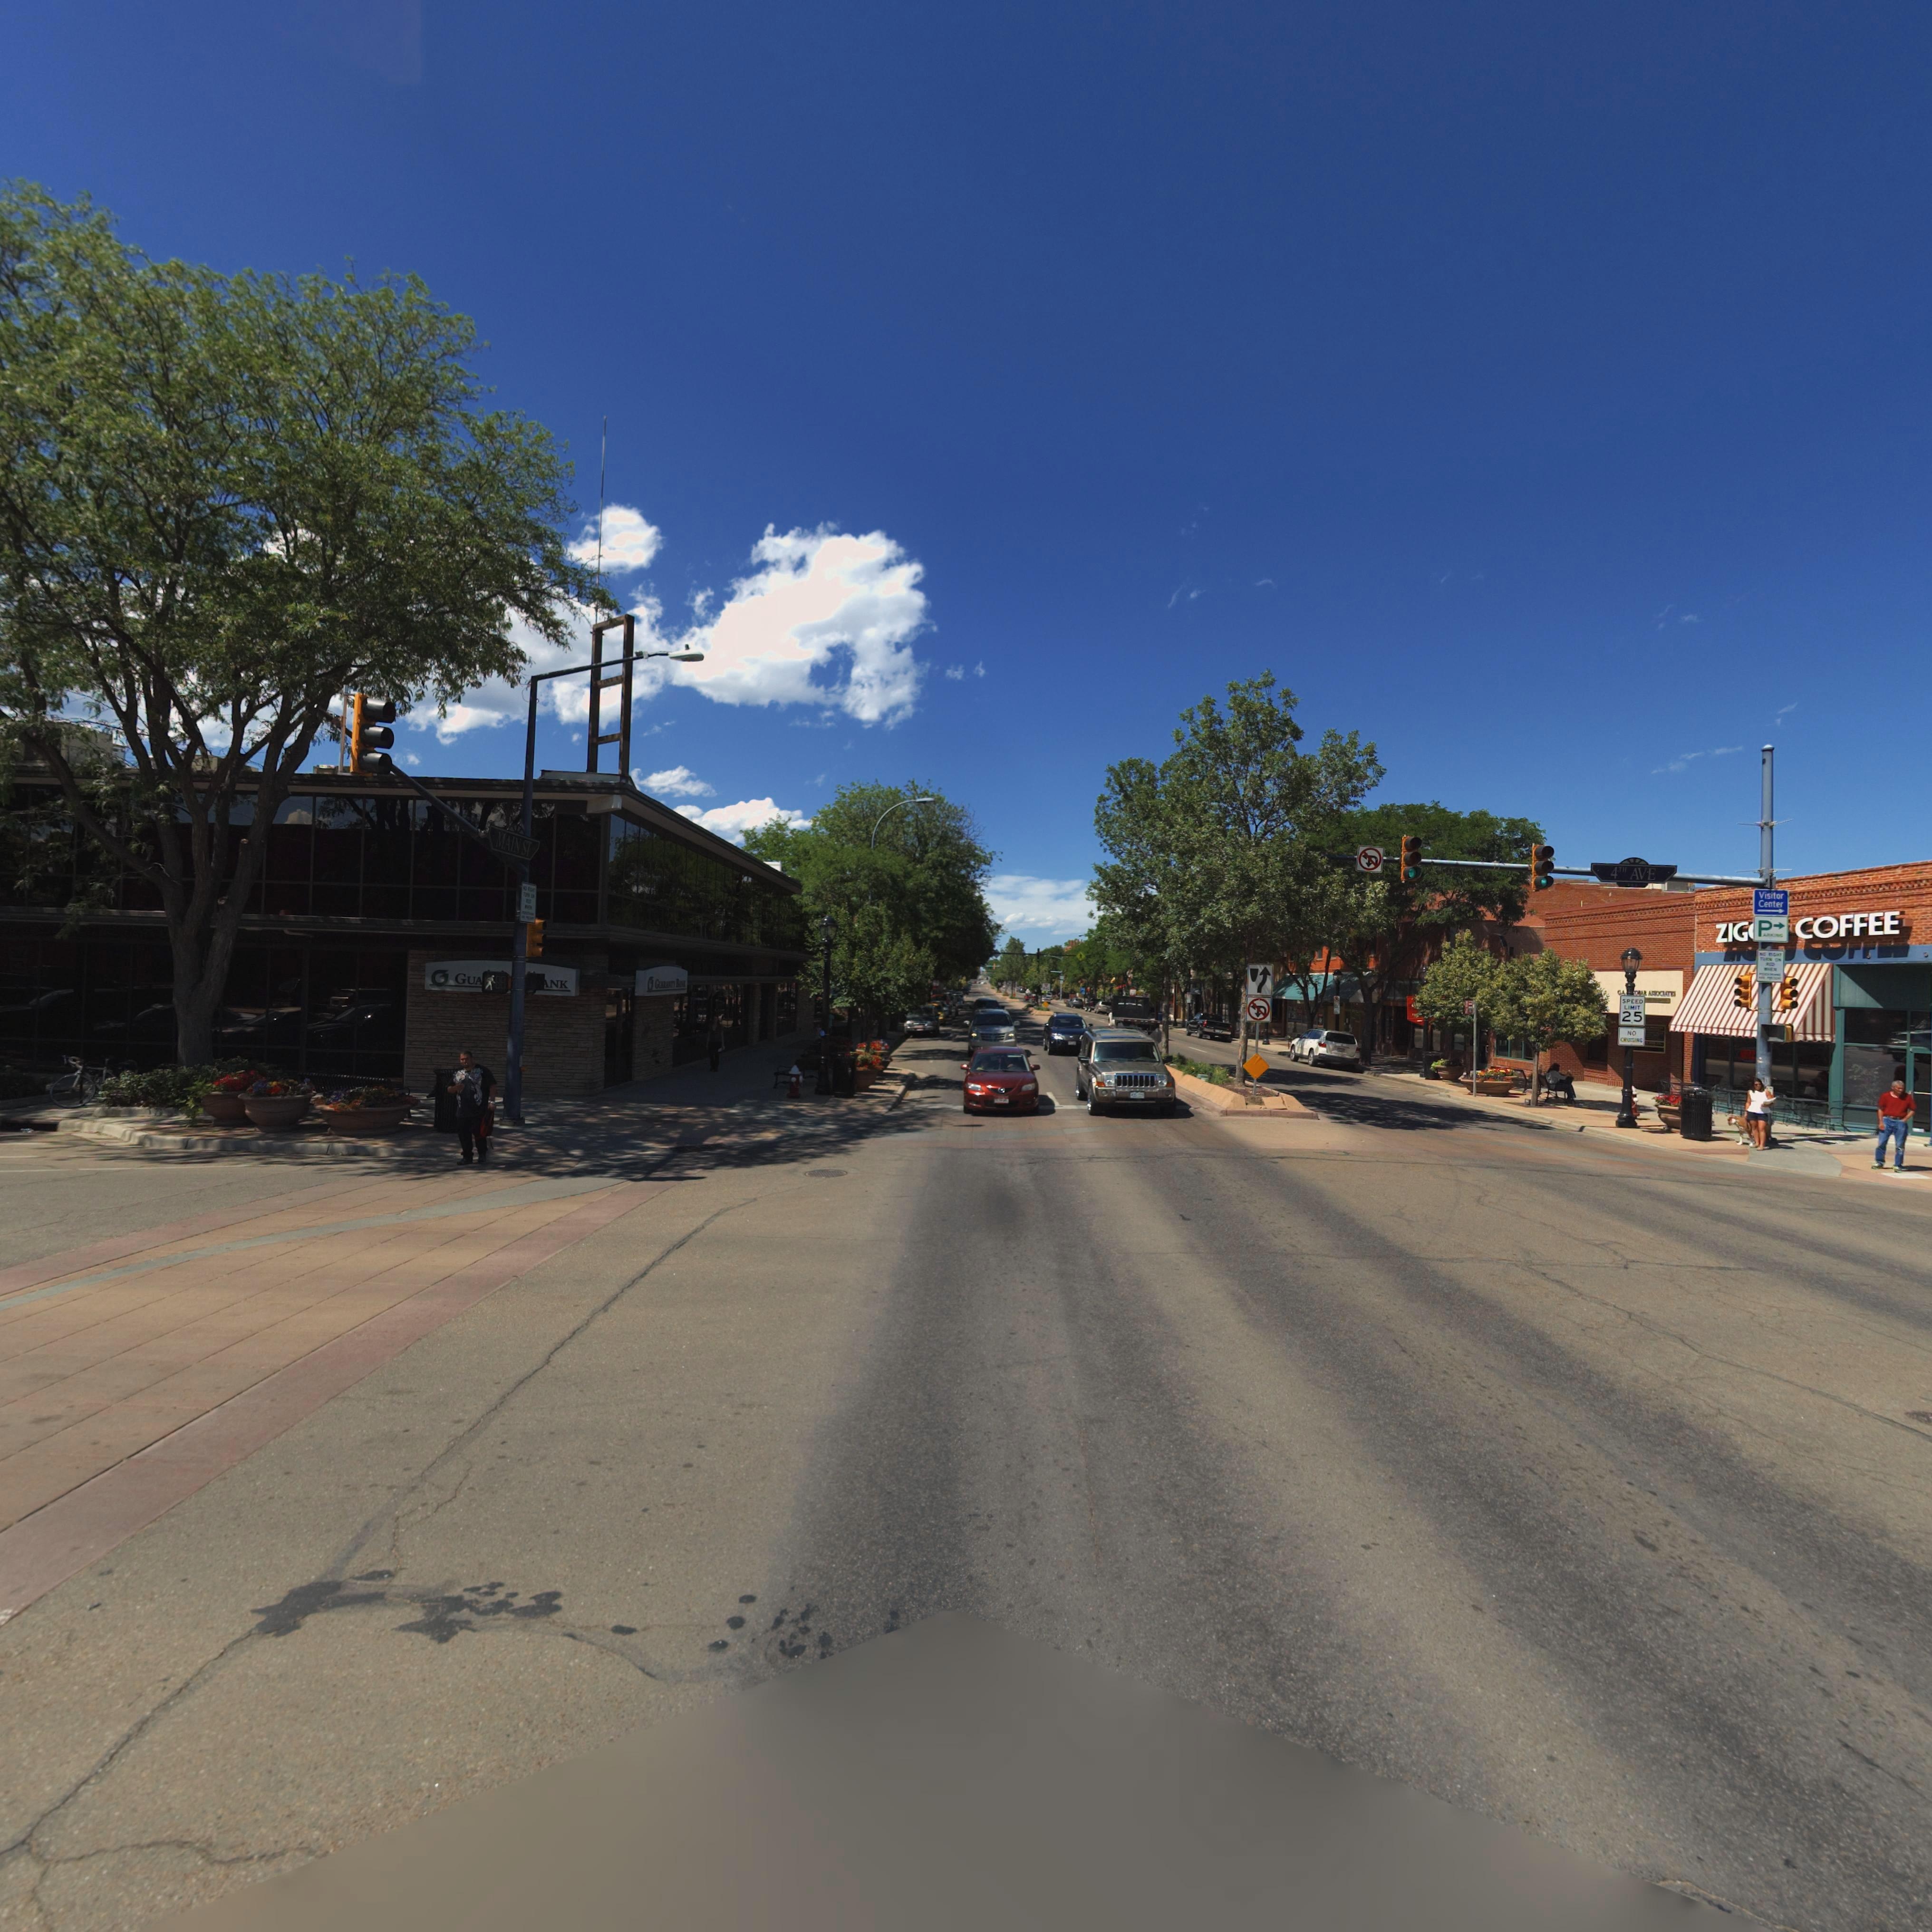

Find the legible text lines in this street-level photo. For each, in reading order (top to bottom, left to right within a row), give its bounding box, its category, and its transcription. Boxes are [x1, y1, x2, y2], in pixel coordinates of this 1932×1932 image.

[494, 831, 533, 857] StreetName: MAIN ST
[1610, 866, 1656, 880] StreetName: 4TH AVE
[1715, 910, 1900, 943] BusinessName: ZIG*** COFFEE
[454, 972, 568, 989] BusinessName: GUA******NK
[654, 977, 686, 989] BusinessName: GUARANTY BAN*
[1617, 989, 1676, 997] BusinessName: G.A. ****BAR ASSOCIATES